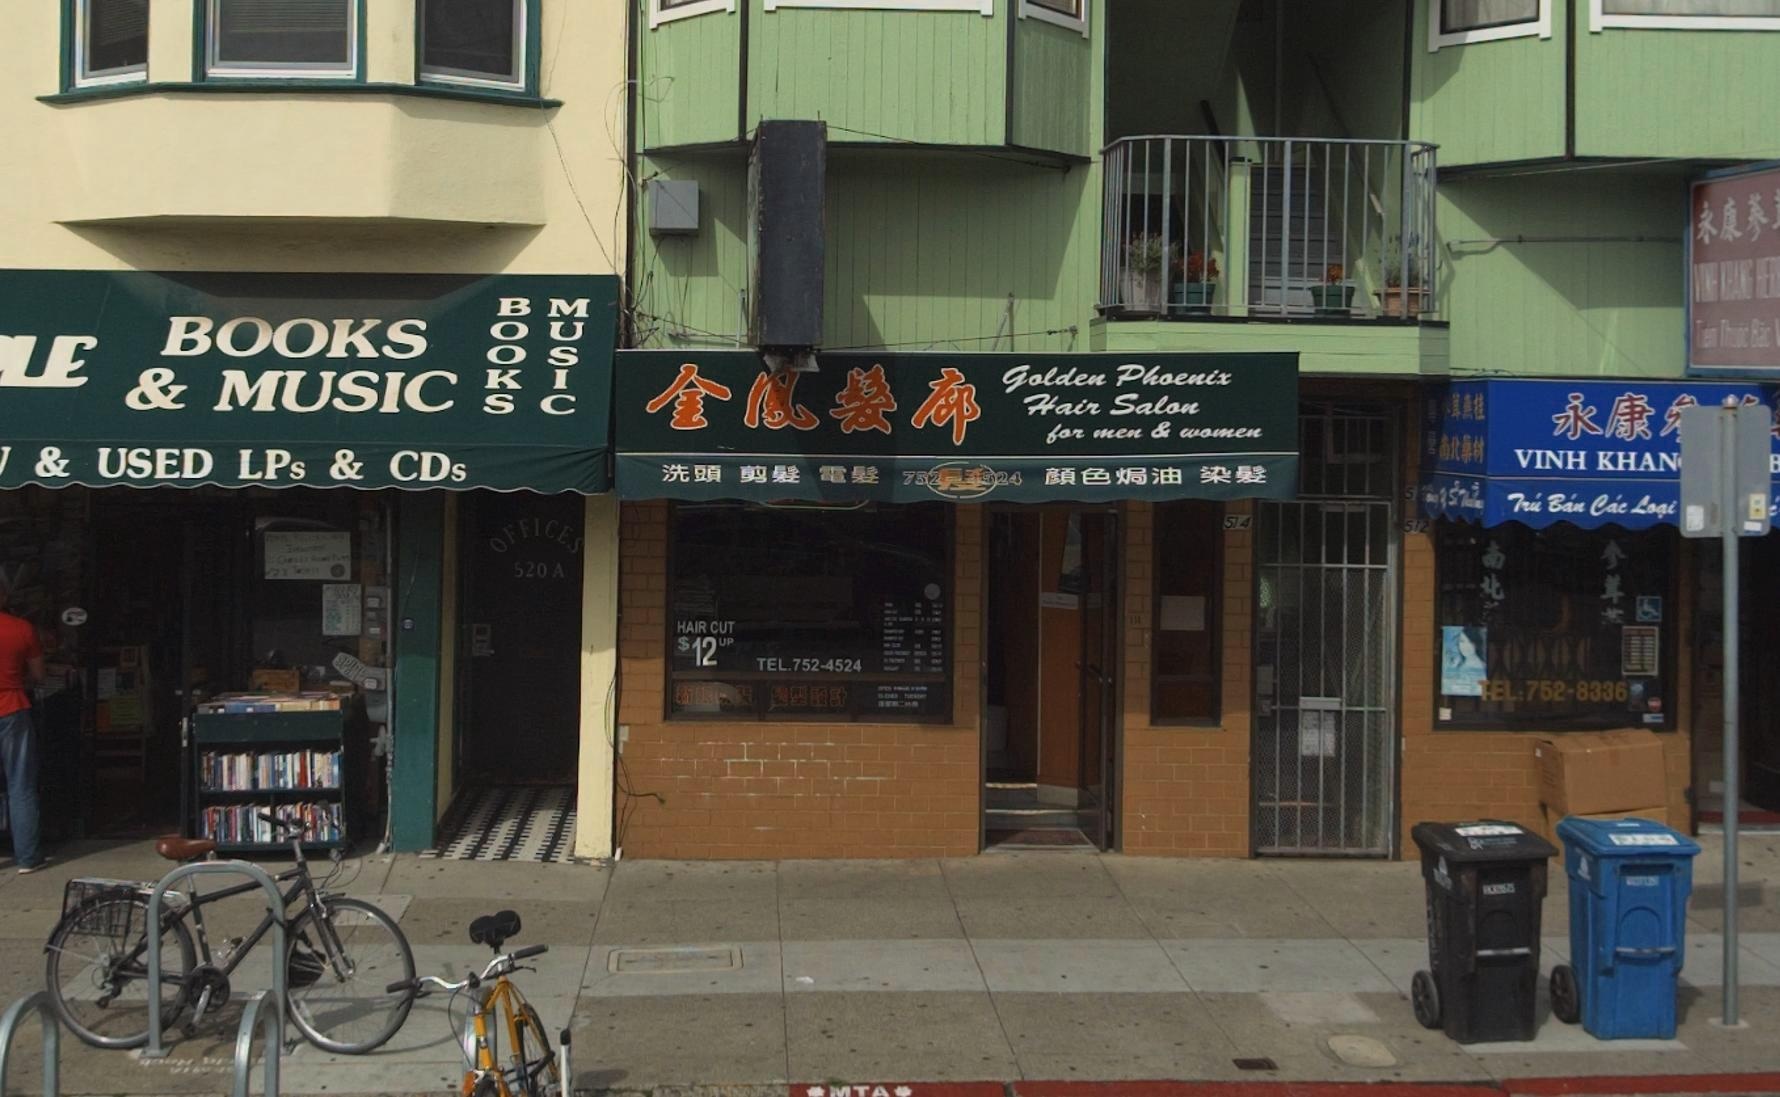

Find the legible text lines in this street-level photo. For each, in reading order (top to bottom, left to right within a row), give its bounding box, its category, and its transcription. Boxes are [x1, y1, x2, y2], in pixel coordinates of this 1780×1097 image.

[159, 314, 430, 361] BusinessName: BOOKS
[481, 296, 535, 417] None: BOOKS
[538, 297, 591, 418] None: MUSIC
[1000, 363, 1233, 395] BusinessName: Golden Phoenix
[212, 368, 459, 417] BusinessName: MUSIC
[1022, 392, 1200, 416] BusinessName: Hair Salon
[1045, 420, 1264, 445] BusinessName: for men & women
[95, 445, 467, 484] None: USED LPs & CDs
[1513, 448, 1680, 473] BusinessName: VINH KHAN
[901, 470, 942, 486] None: 732
[980, 470, 1023, 487] None: 524
[1506, 491, 1679, 520] None: Tr* B*n C*e Logi
[1222, 515, 1253, 529] StreetNumber: 514
[486, 517, 586, 555] None: OFFICES
[513, 560, 567, 579] StreetNumber: 520 A
[676, 620, 736, 635] None: HAIR CUT
[691, 636, 735, 667] None: 12UP
[756, 657, 862, 673] None: TEL. 752-4524
[1476, 679, 1629, 703] None: TEL:752-8336